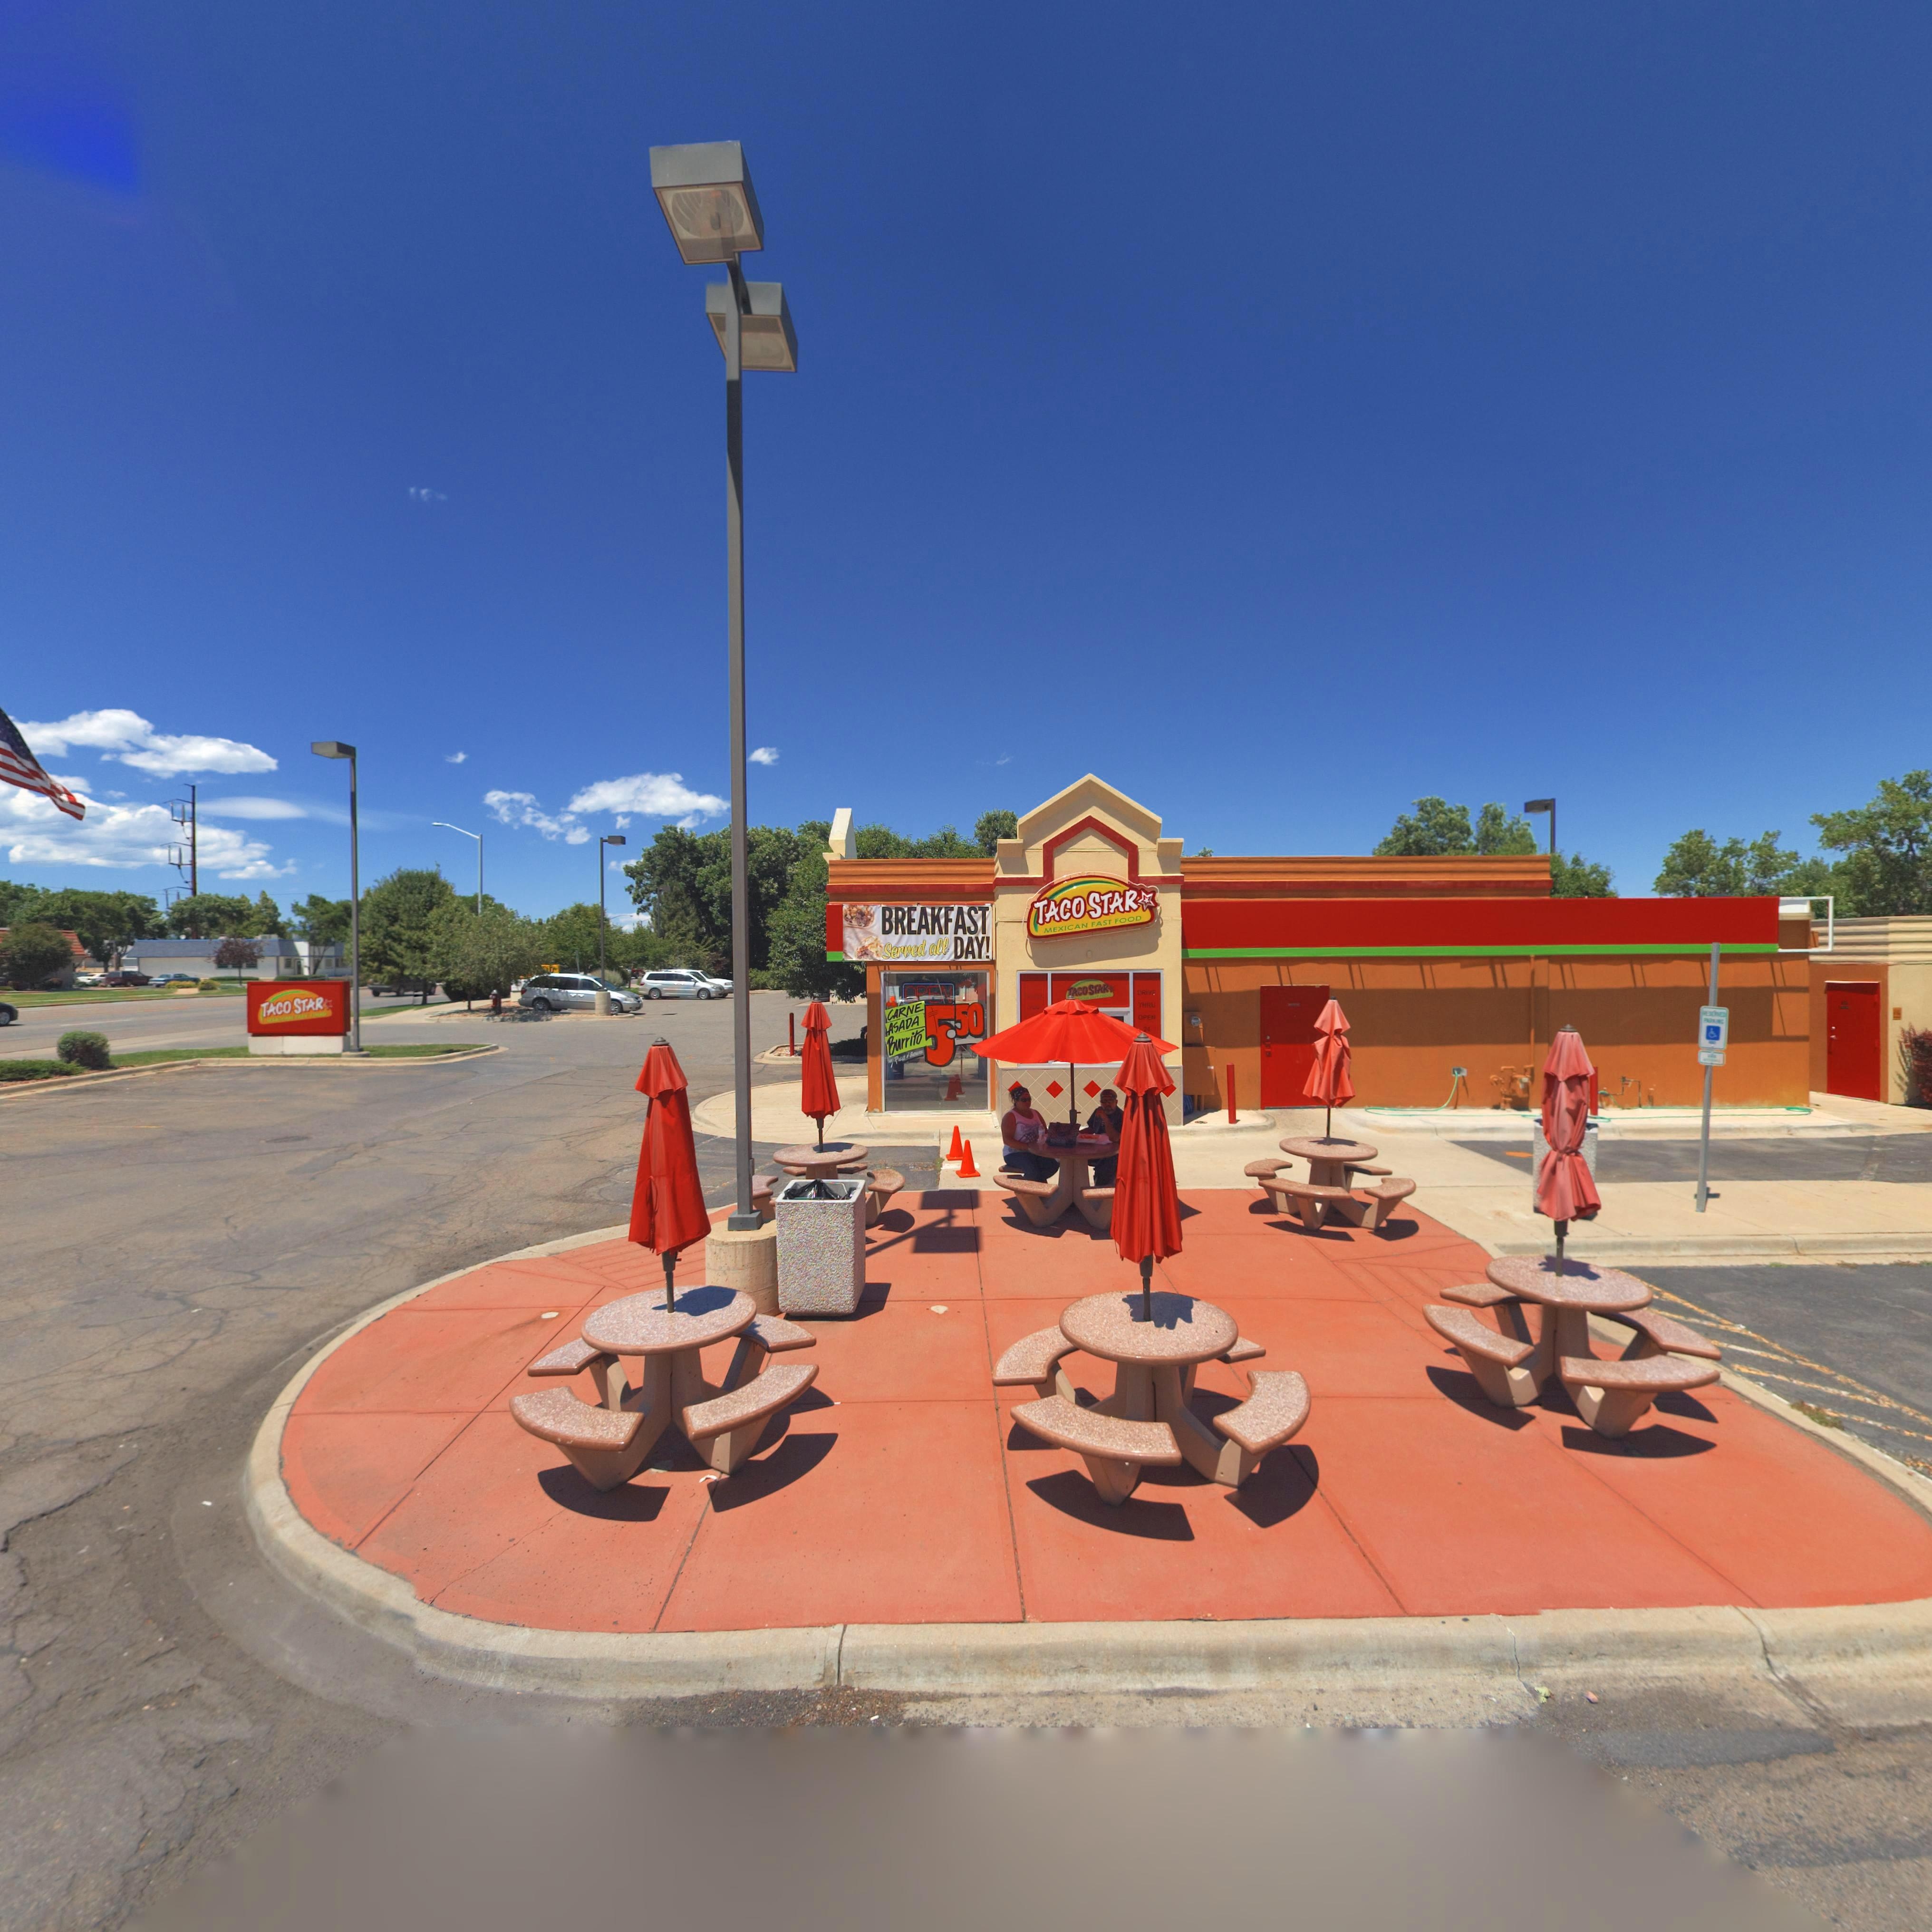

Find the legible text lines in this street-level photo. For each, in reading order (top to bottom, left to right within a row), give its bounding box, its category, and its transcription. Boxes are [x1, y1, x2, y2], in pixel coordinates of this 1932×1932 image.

[1033, 889, 1139, 924] StreetNumber: TACO STAR
[1066, 983, 1109, 996] BusinessName: TACO STAR
[259, 995, 325, 1019] BusinessName: TACO STAR